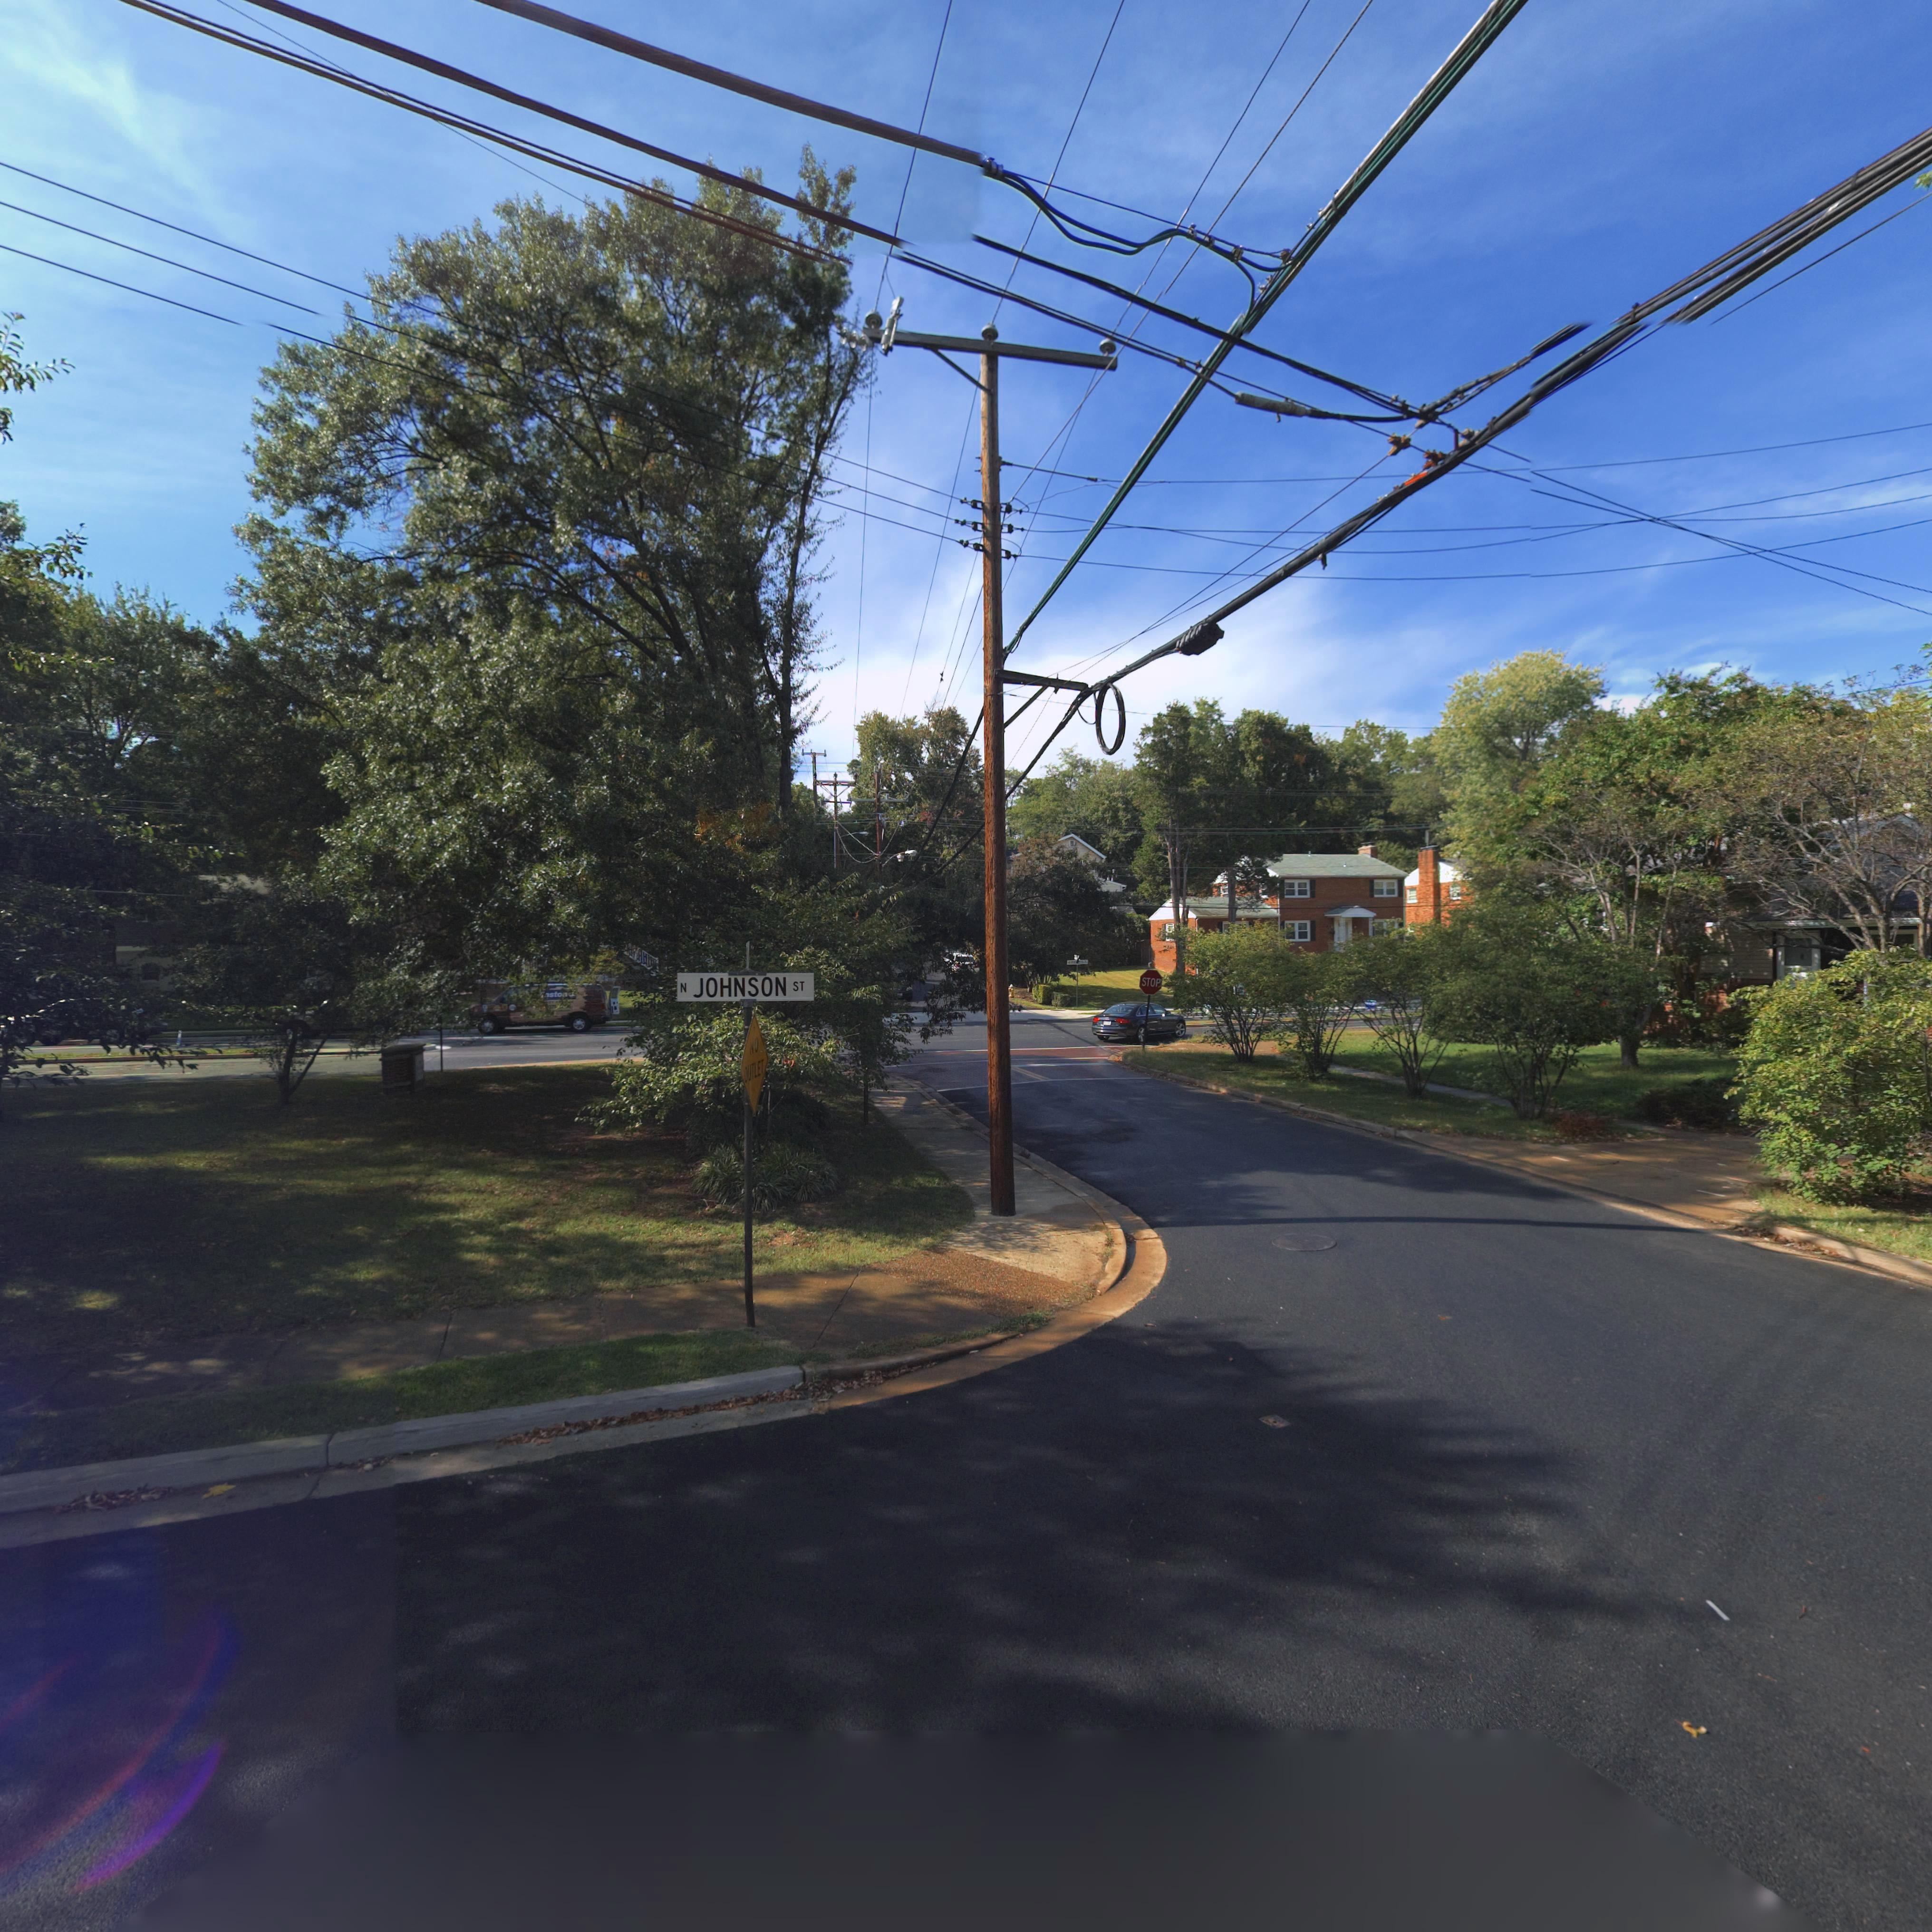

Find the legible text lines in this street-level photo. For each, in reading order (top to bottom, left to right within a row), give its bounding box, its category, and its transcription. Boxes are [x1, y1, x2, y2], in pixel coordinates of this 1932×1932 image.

[548, 989, 563, 999] None: sto
[679, 975, 807, 1000] StreetName: N JOHNSON ST
[1140, 976, 1162, 989] None: STOP
[748, 1034, 759, 1057] None: NO
[743, 1058, 765, 1084] None: OUTLET